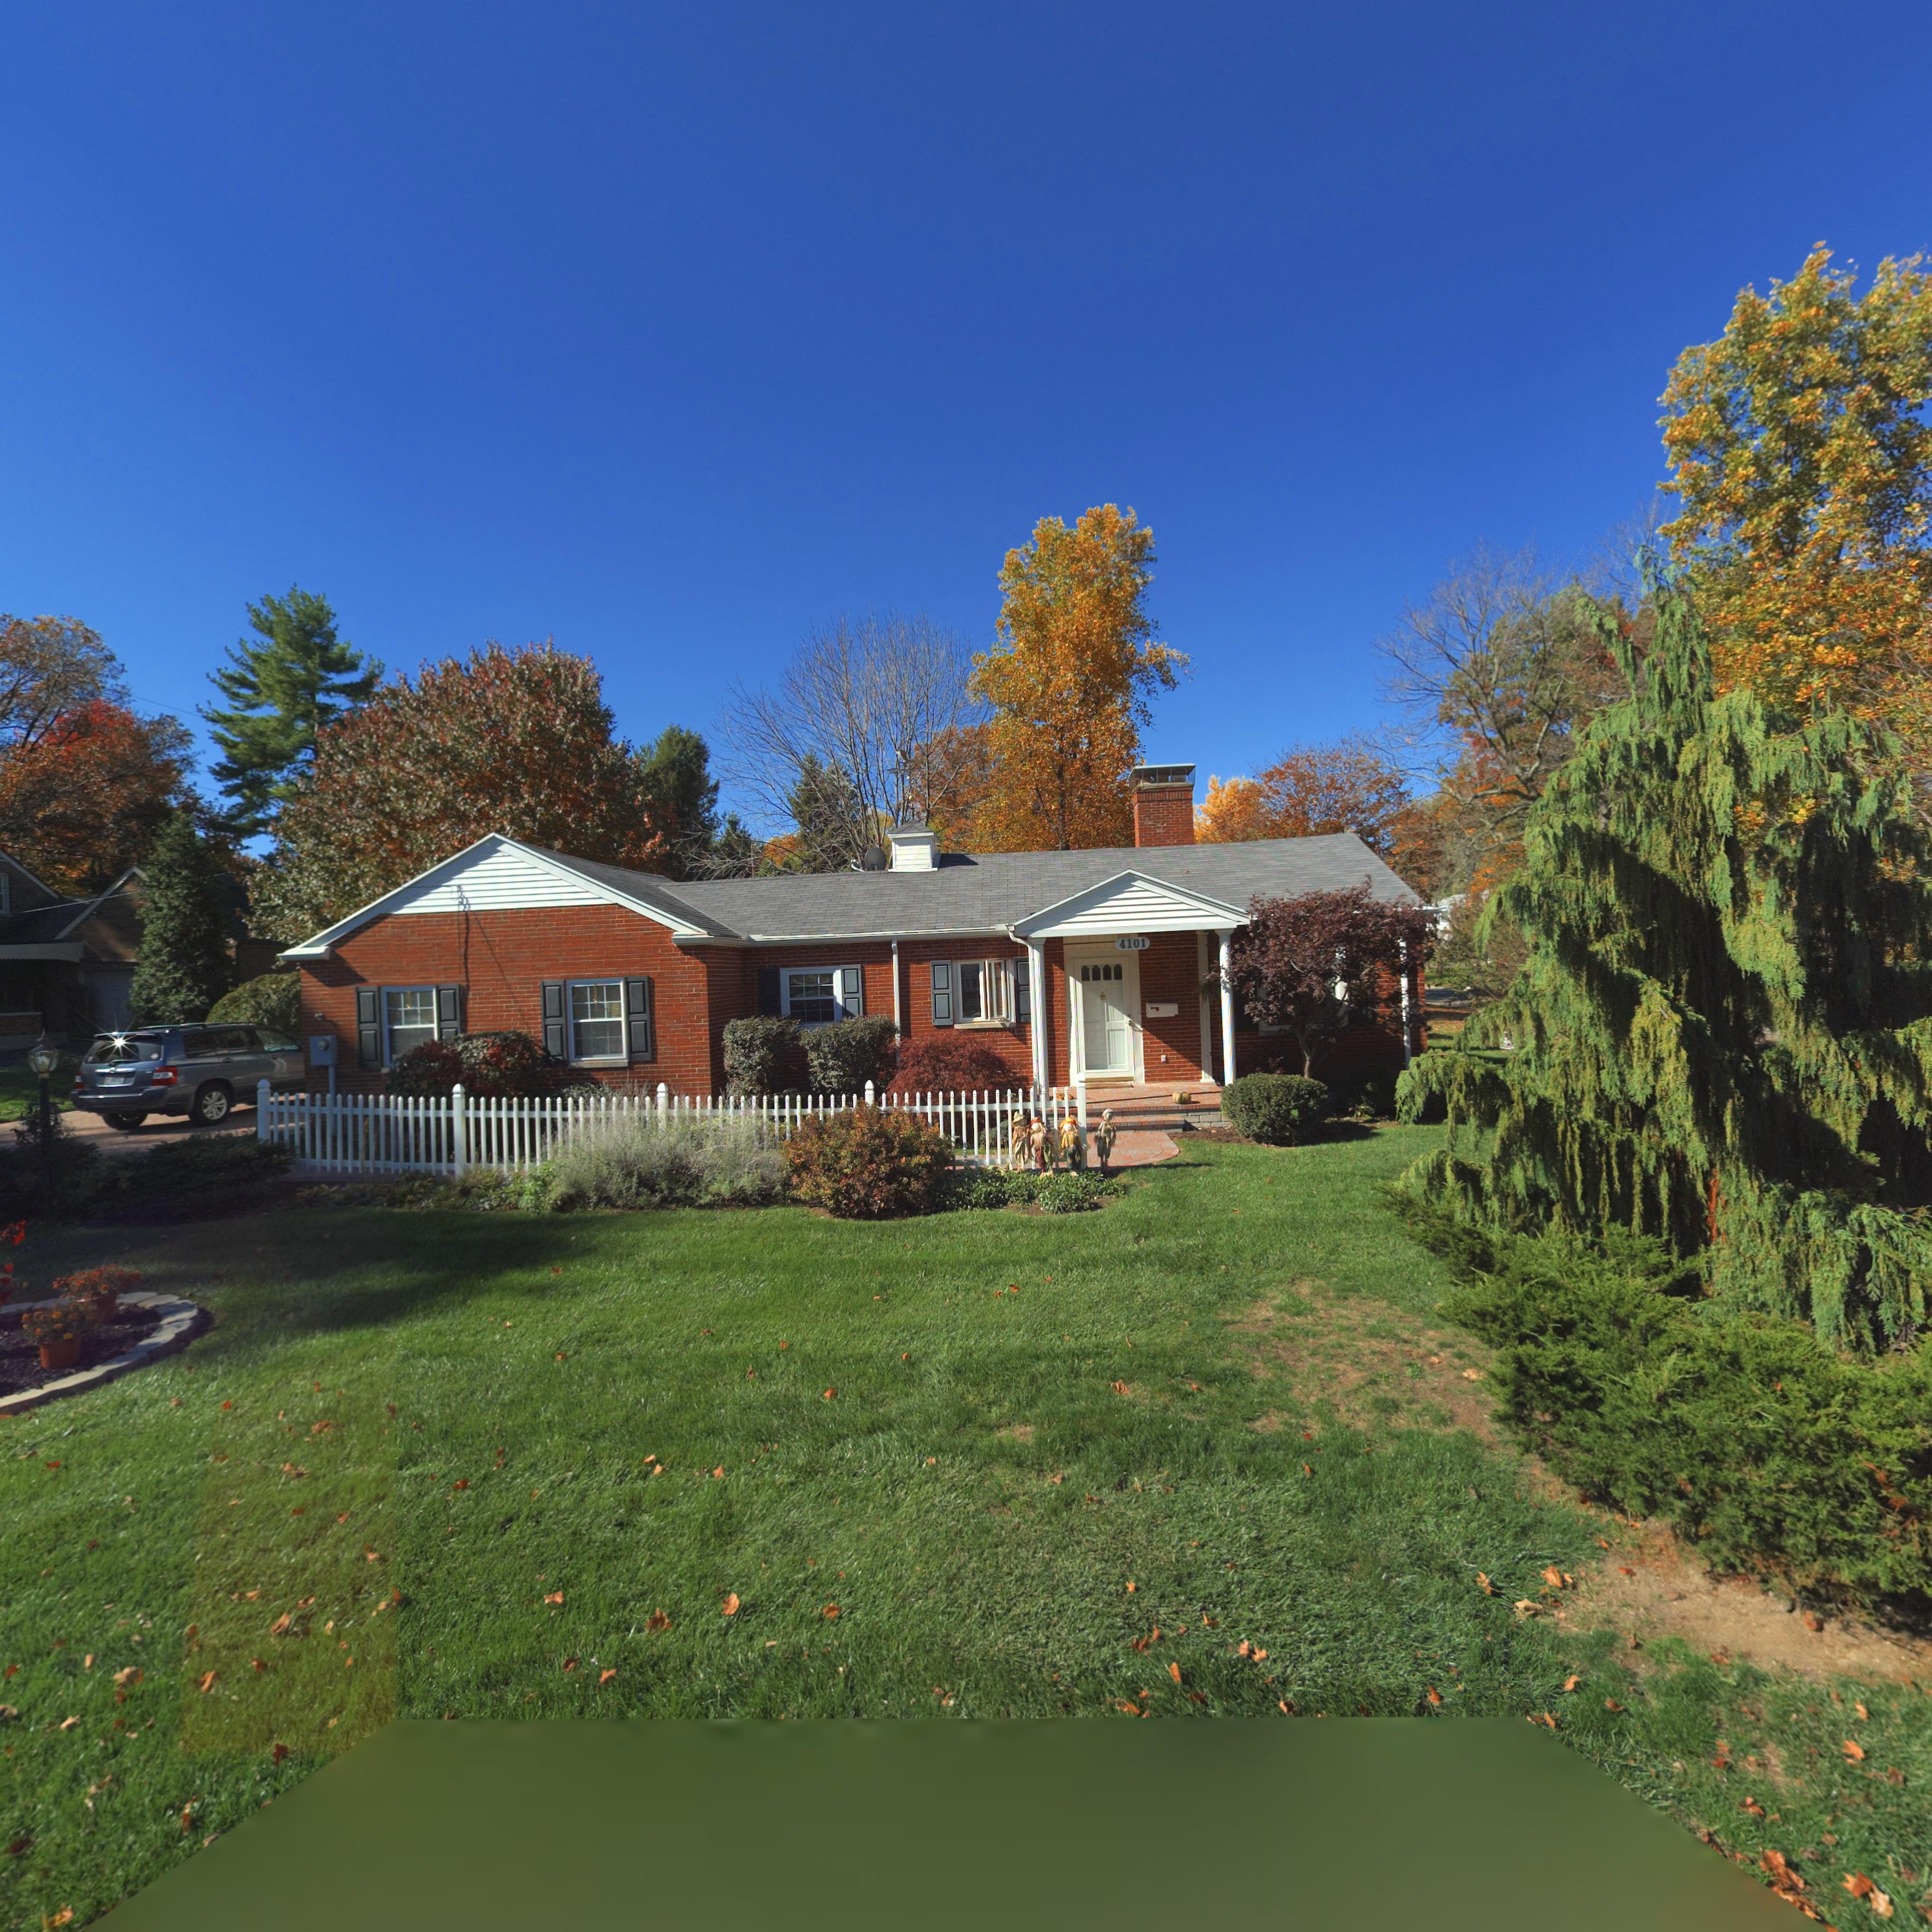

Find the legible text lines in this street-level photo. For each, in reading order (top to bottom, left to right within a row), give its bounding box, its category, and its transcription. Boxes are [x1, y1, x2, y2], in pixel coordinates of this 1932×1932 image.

[1118, 937, 1147, 949] StreetNumber: 4101